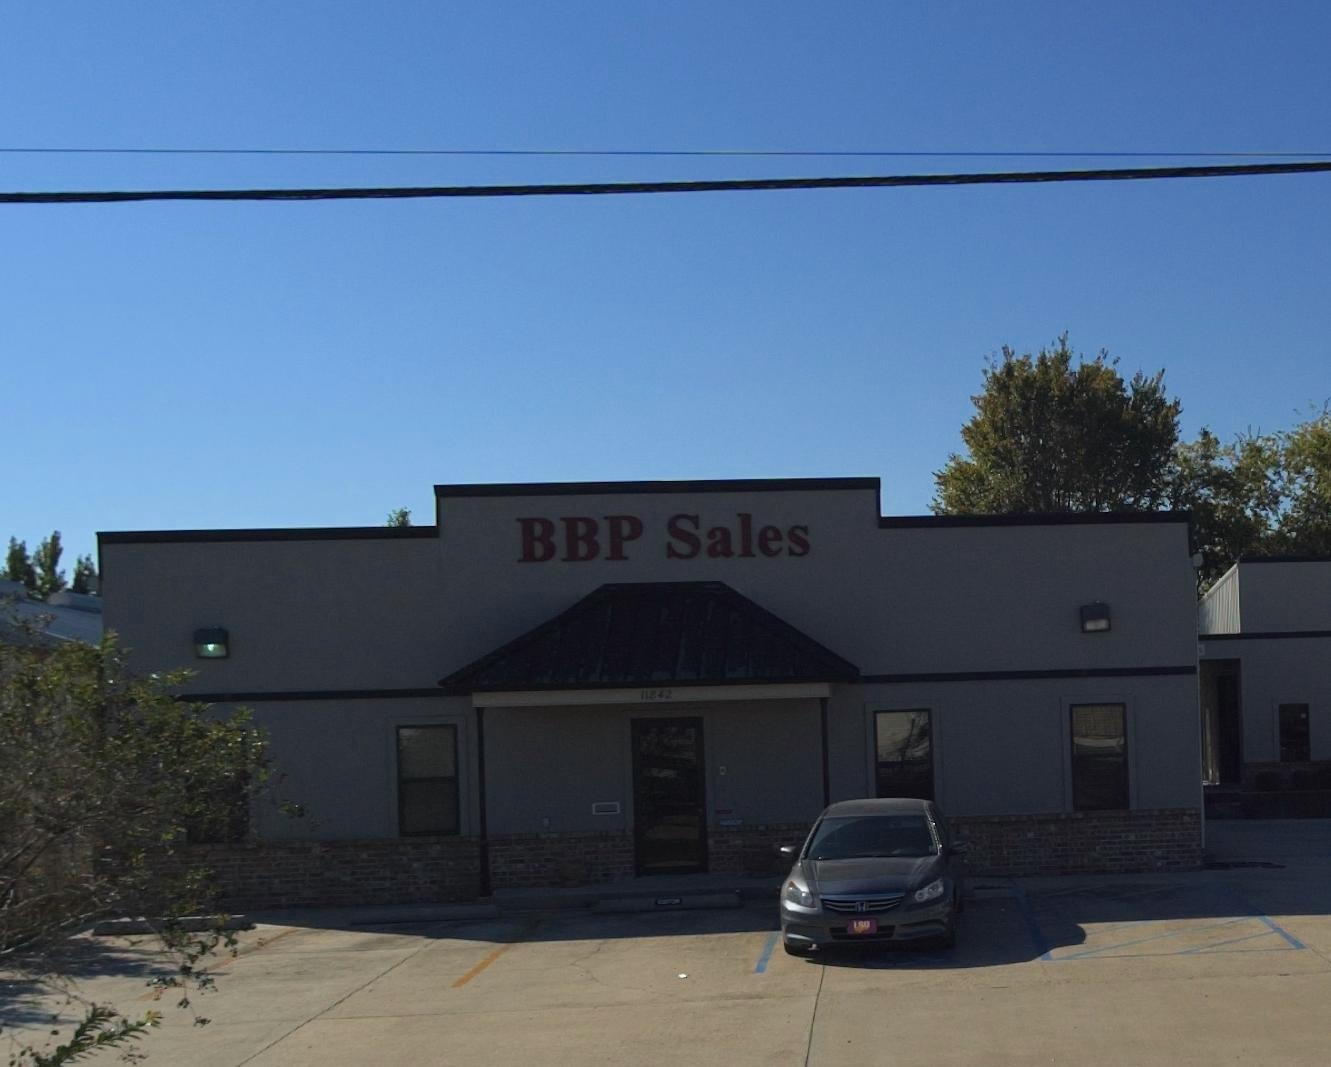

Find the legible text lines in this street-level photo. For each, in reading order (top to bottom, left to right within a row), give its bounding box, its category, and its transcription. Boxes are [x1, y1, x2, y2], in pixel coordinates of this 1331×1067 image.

[512, 510, 813, 567] BusinessName: BBP Sales
[638, 686, 675, 703] StreetNumber: 11842